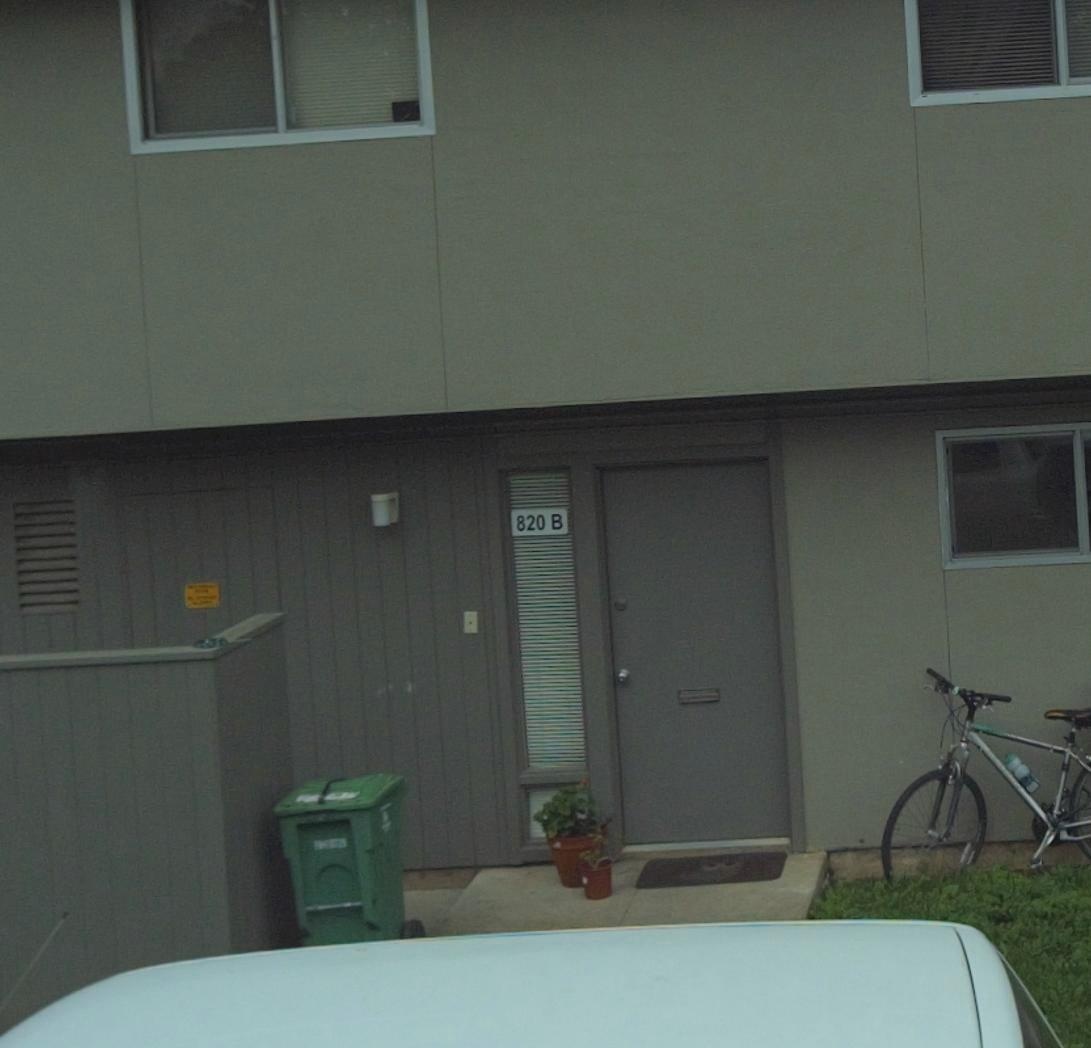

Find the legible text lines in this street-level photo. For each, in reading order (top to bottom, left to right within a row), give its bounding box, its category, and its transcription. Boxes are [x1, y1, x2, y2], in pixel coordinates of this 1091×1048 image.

[516, 512, 564, 532] StreetNumber: 820 B